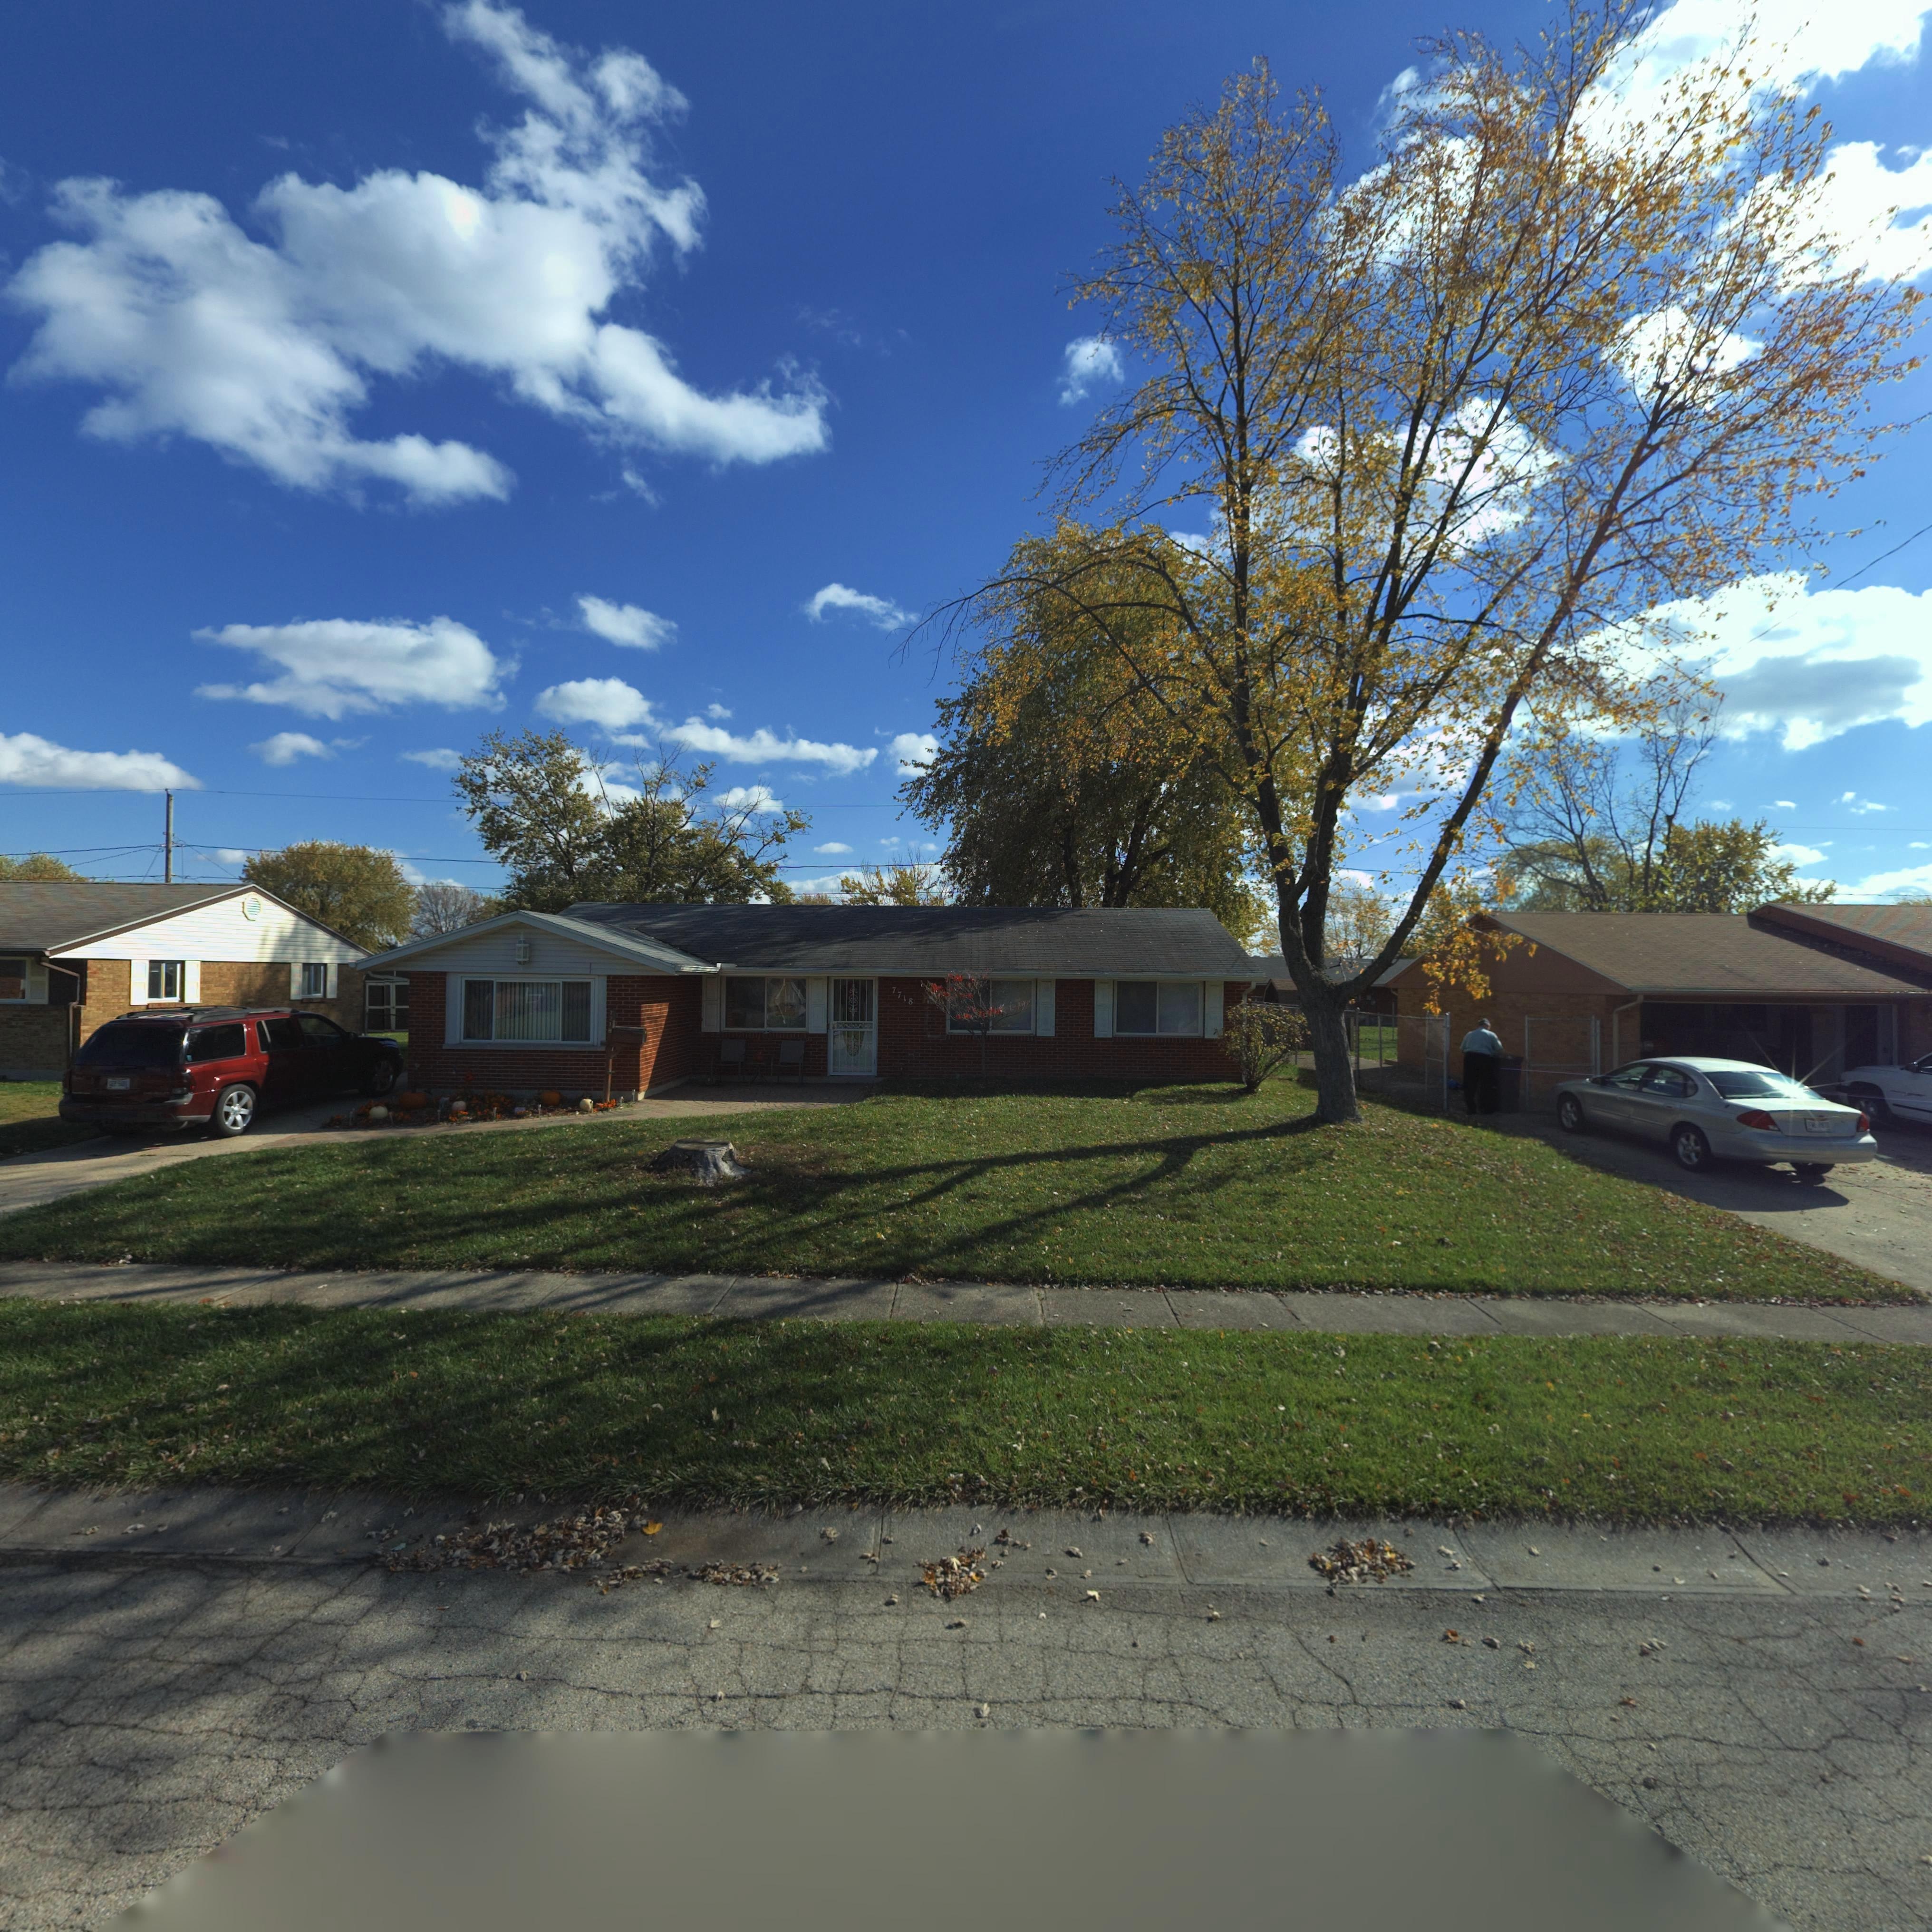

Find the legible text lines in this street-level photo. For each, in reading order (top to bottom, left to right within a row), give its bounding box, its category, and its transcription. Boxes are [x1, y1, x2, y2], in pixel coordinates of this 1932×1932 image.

[891, 986, 914, 1007] StreetNumber: 7718